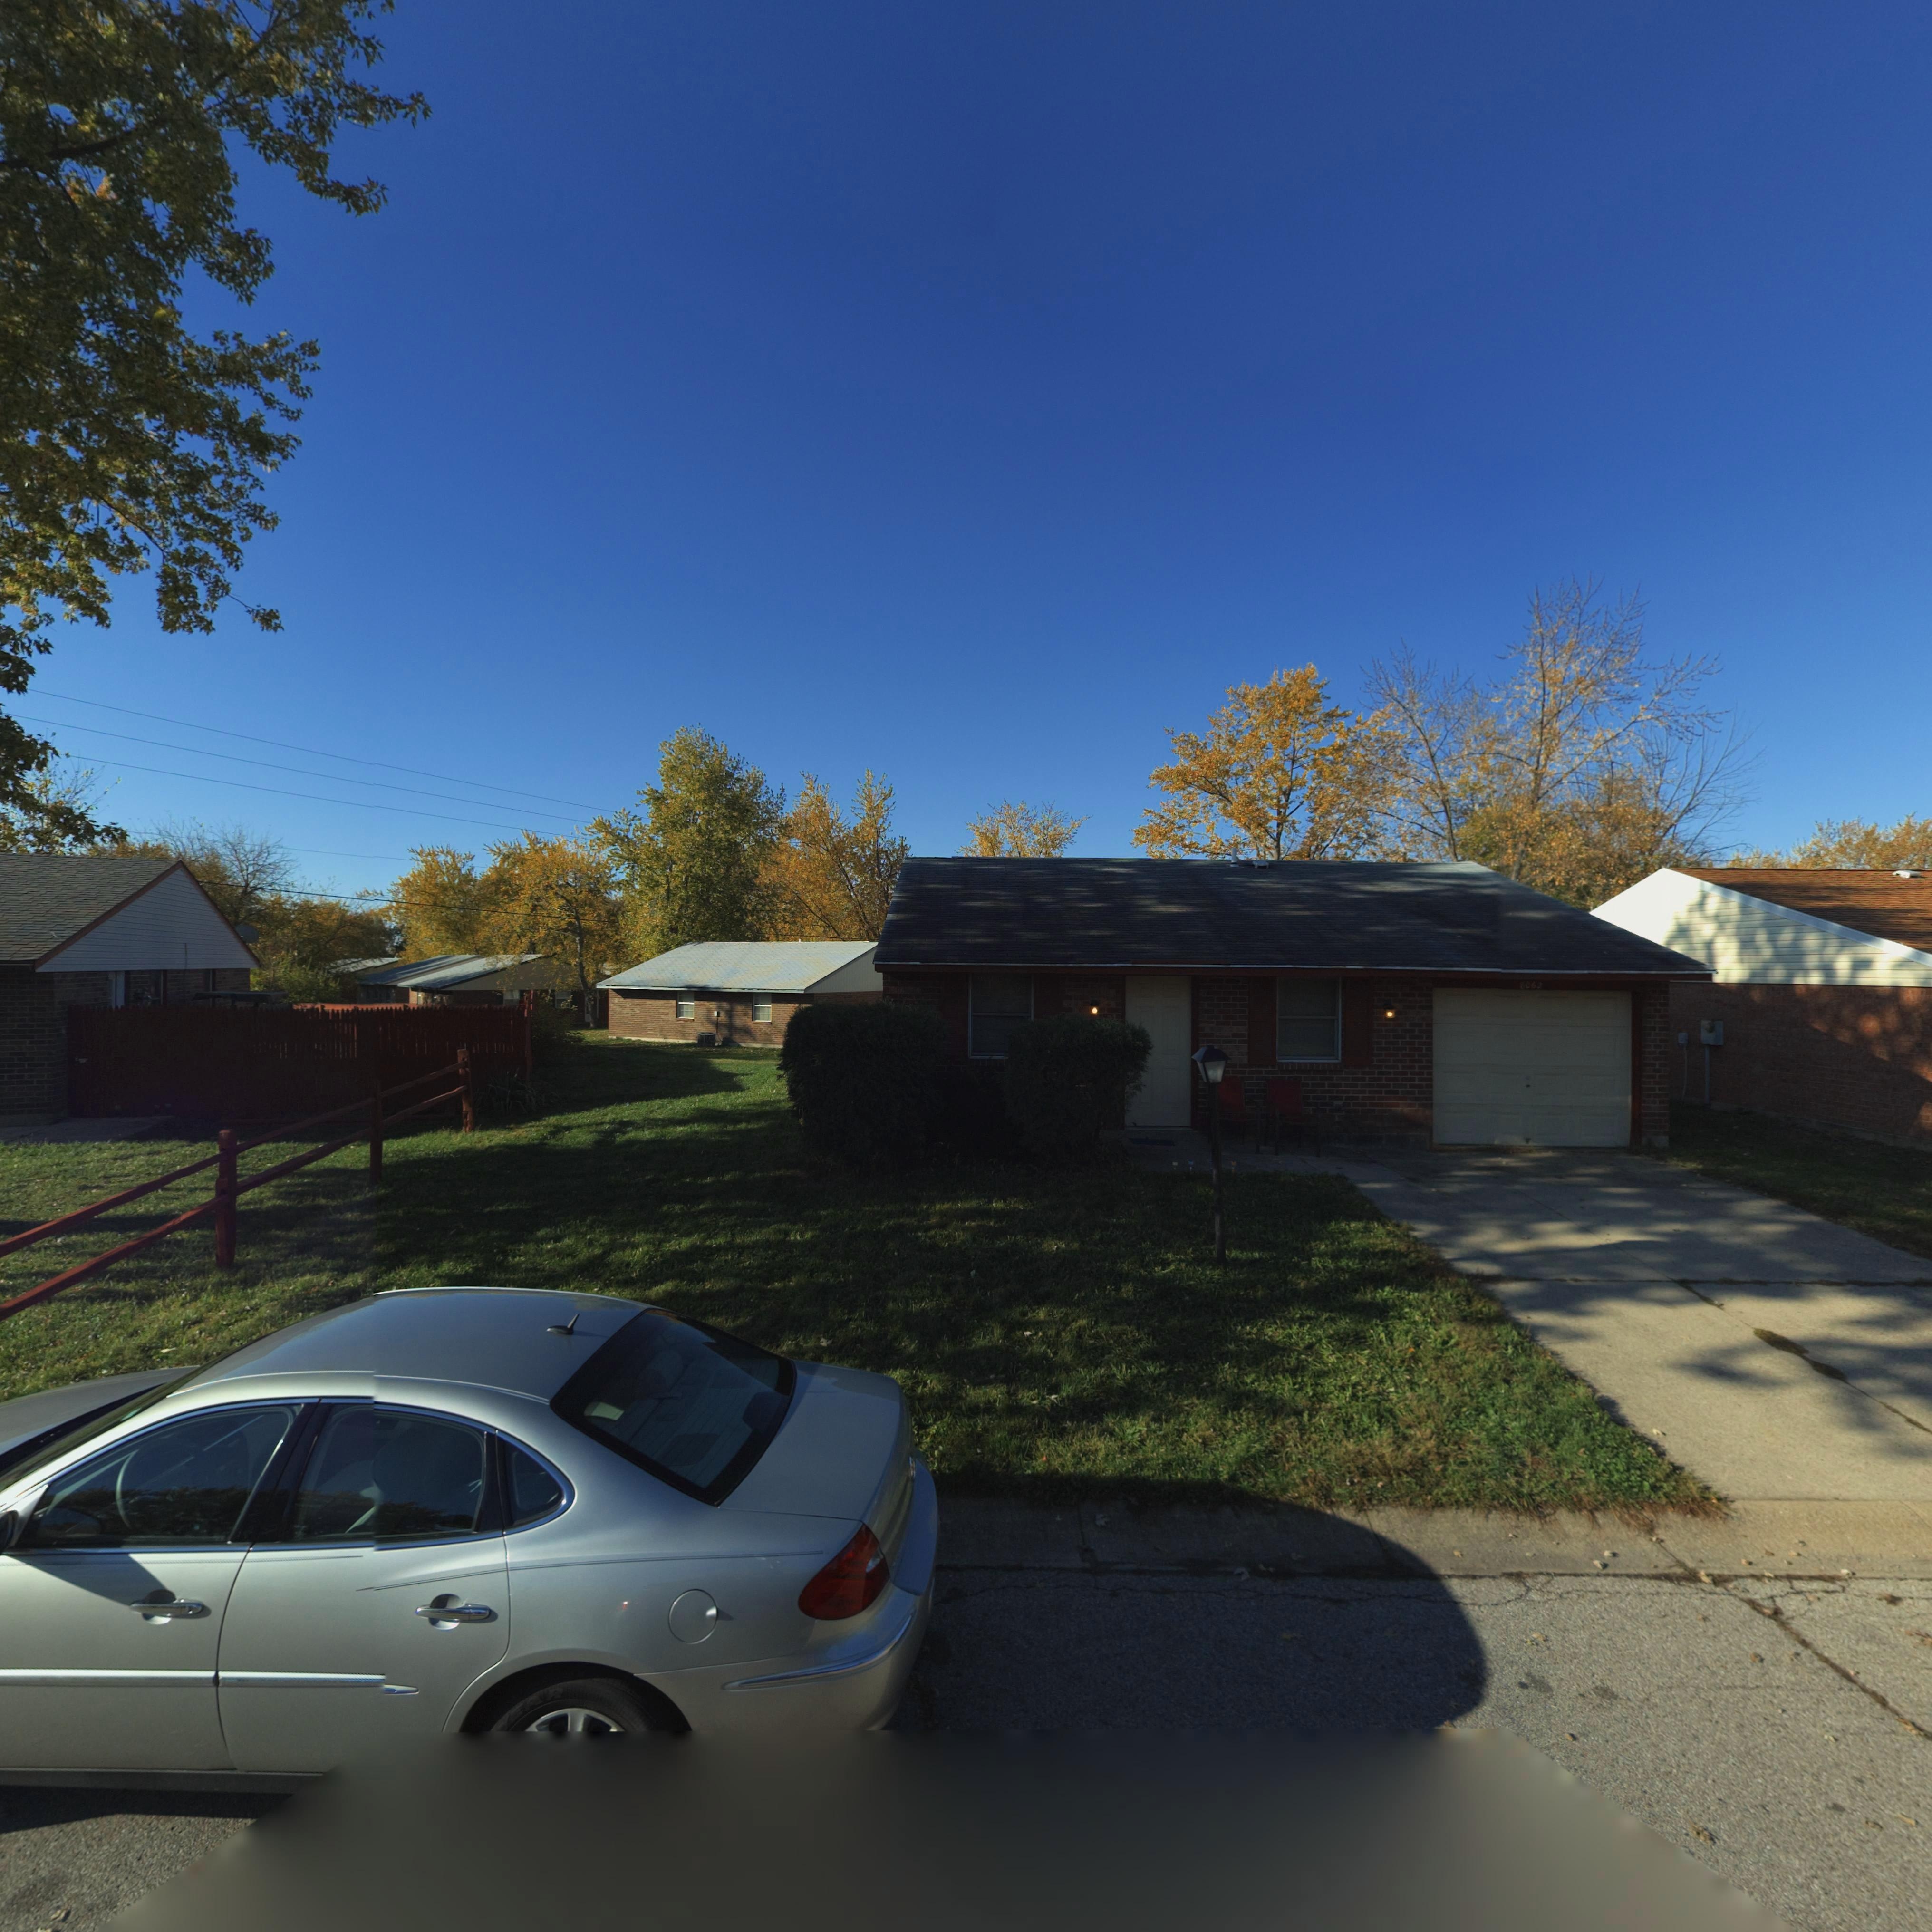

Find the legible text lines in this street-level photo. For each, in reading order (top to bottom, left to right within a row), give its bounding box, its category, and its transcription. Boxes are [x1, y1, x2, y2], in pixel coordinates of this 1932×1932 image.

[1518, 979, 1545, 991] StreetNumber: 806*